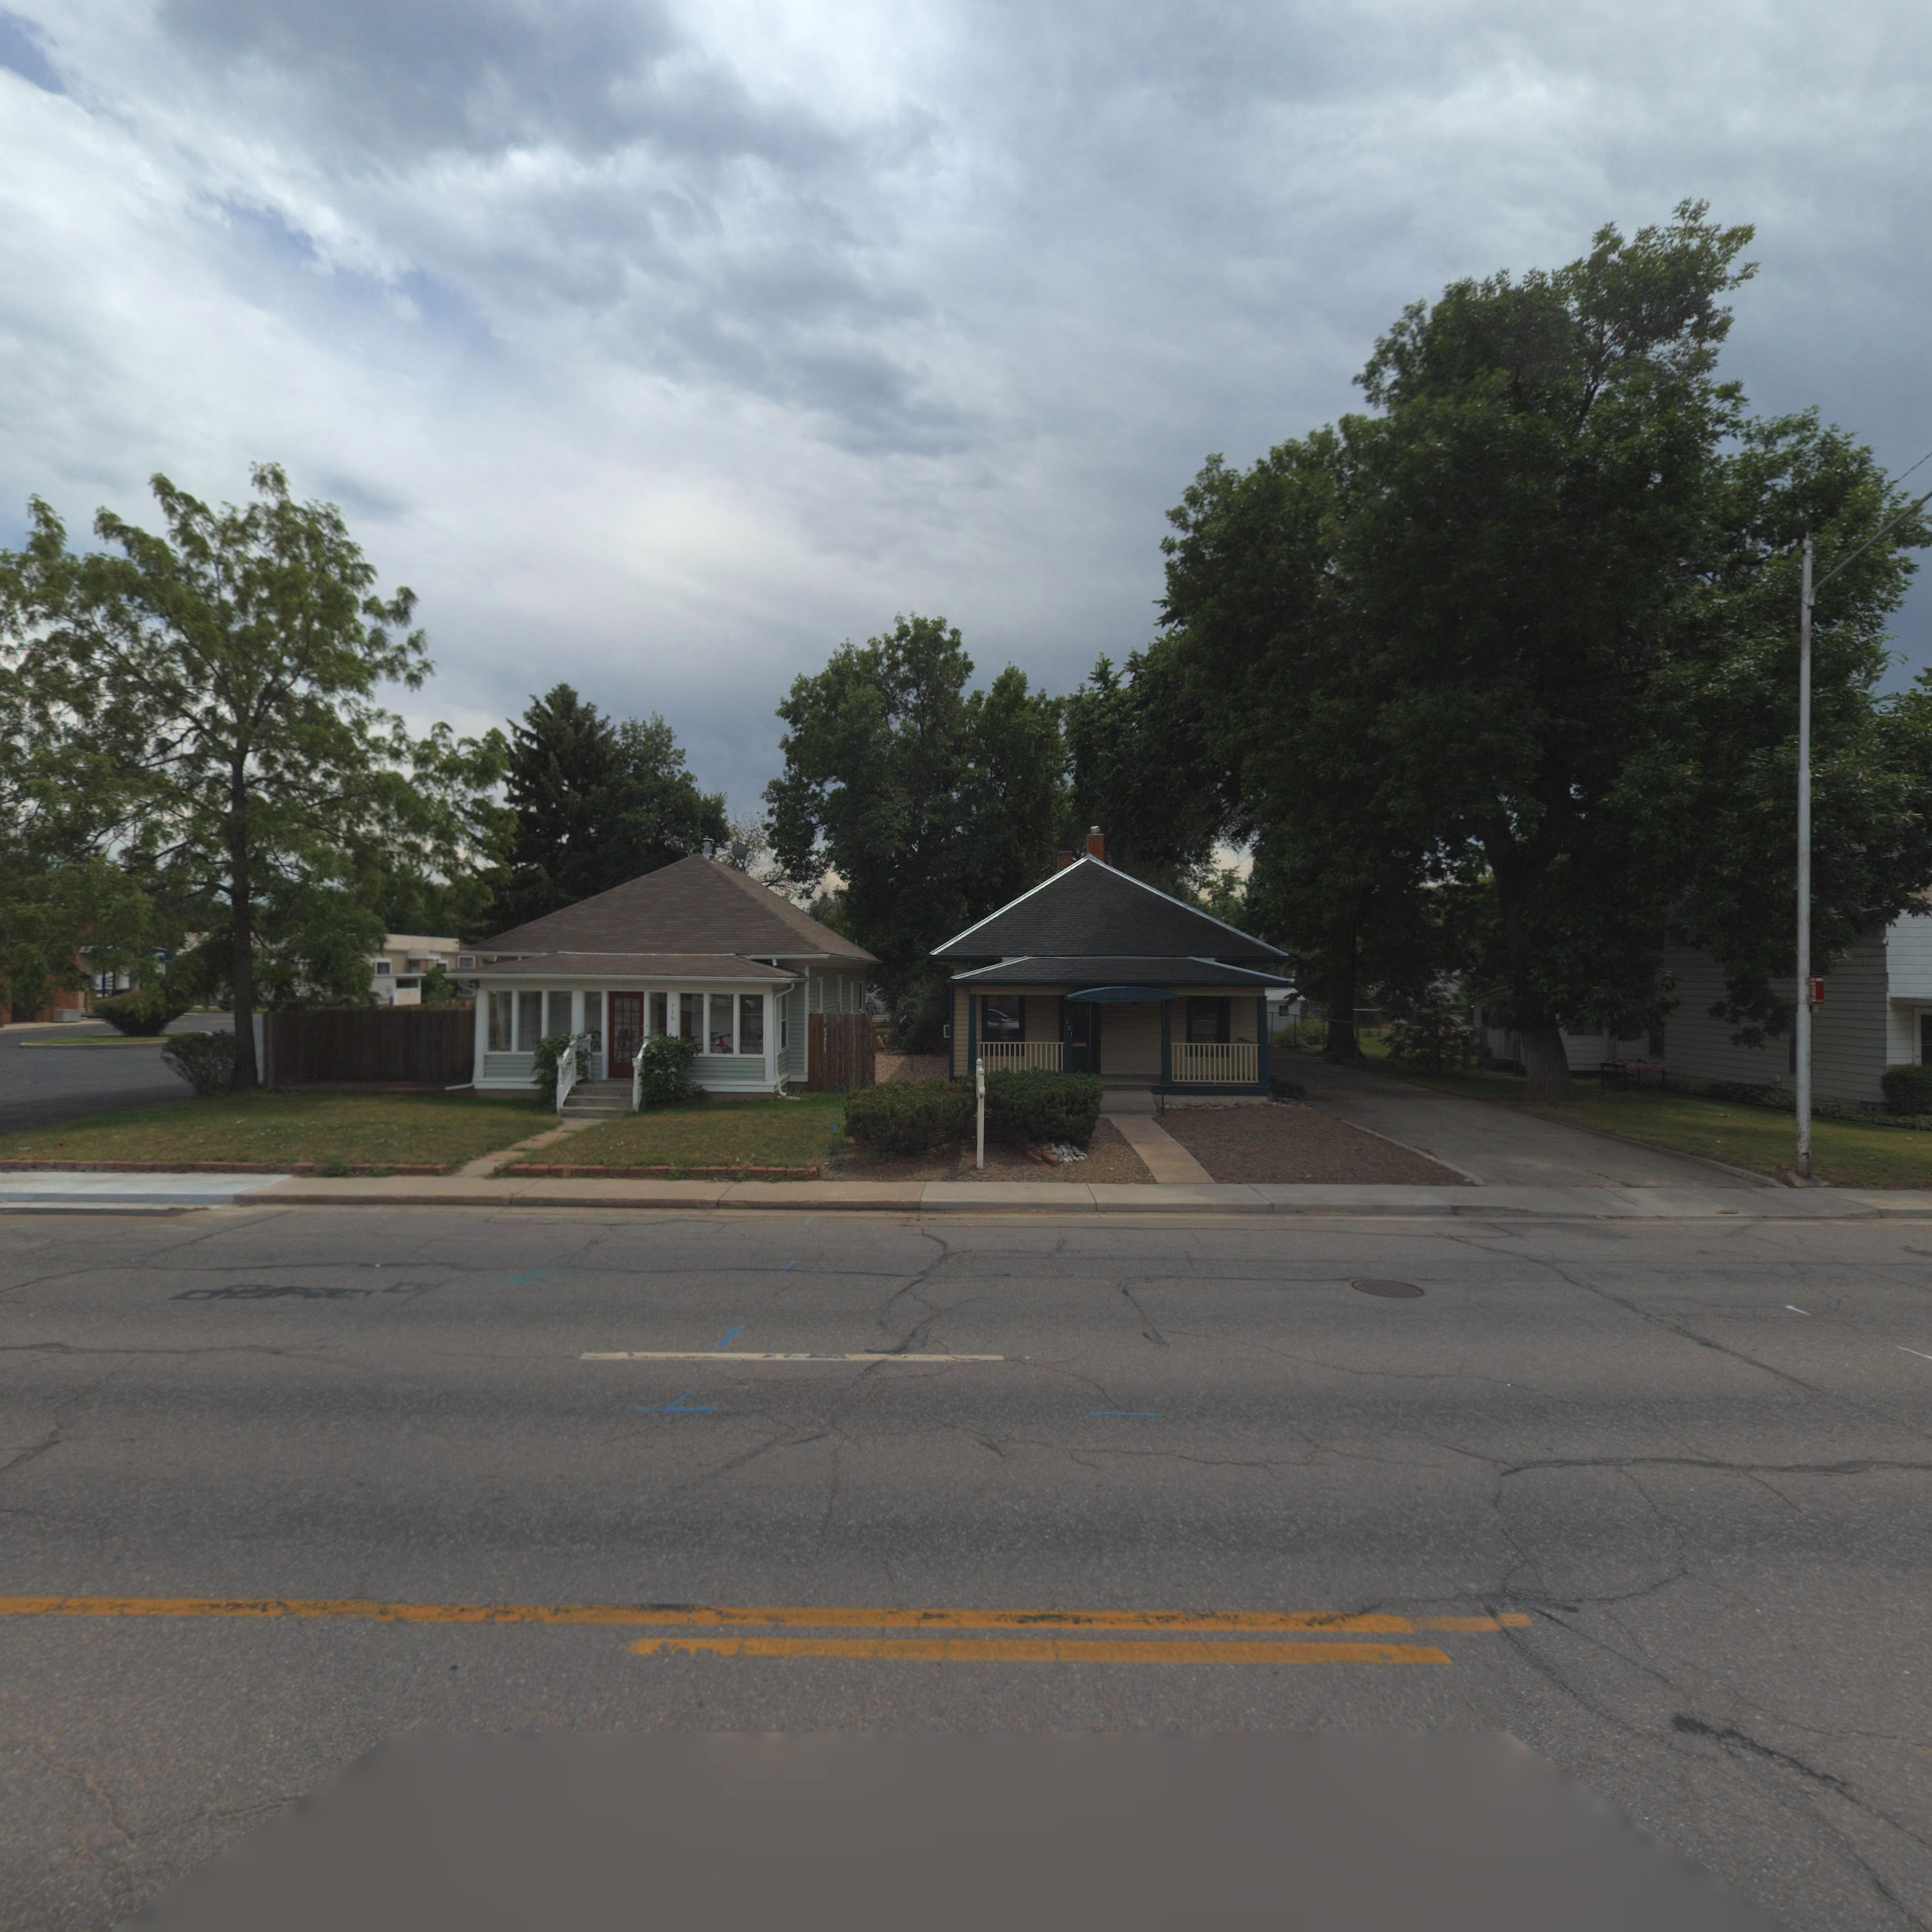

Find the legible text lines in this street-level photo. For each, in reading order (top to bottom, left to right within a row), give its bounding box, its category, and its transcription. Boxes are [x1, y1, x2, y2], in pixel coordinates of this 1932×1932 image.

[670, 1003, 674, 1021] StreetNumber: 719
[1065, 1019, 1072, 1037] StreetNumber: 721